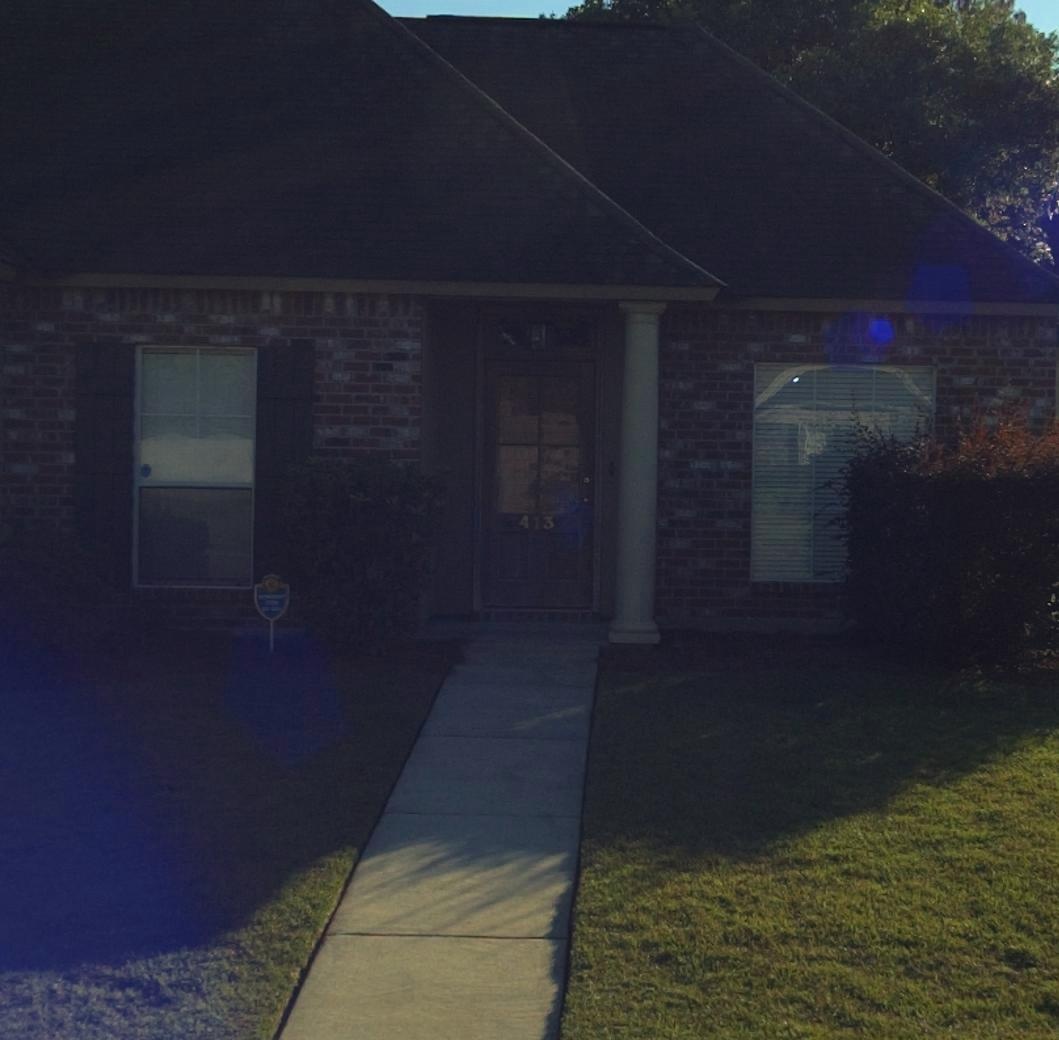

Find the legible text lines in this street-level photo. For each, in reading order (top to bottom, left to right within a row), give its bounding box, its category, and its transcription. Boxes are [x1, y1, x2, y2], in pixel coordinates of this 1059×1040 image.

[517, 514, 556, 531] StreetNumber: 413